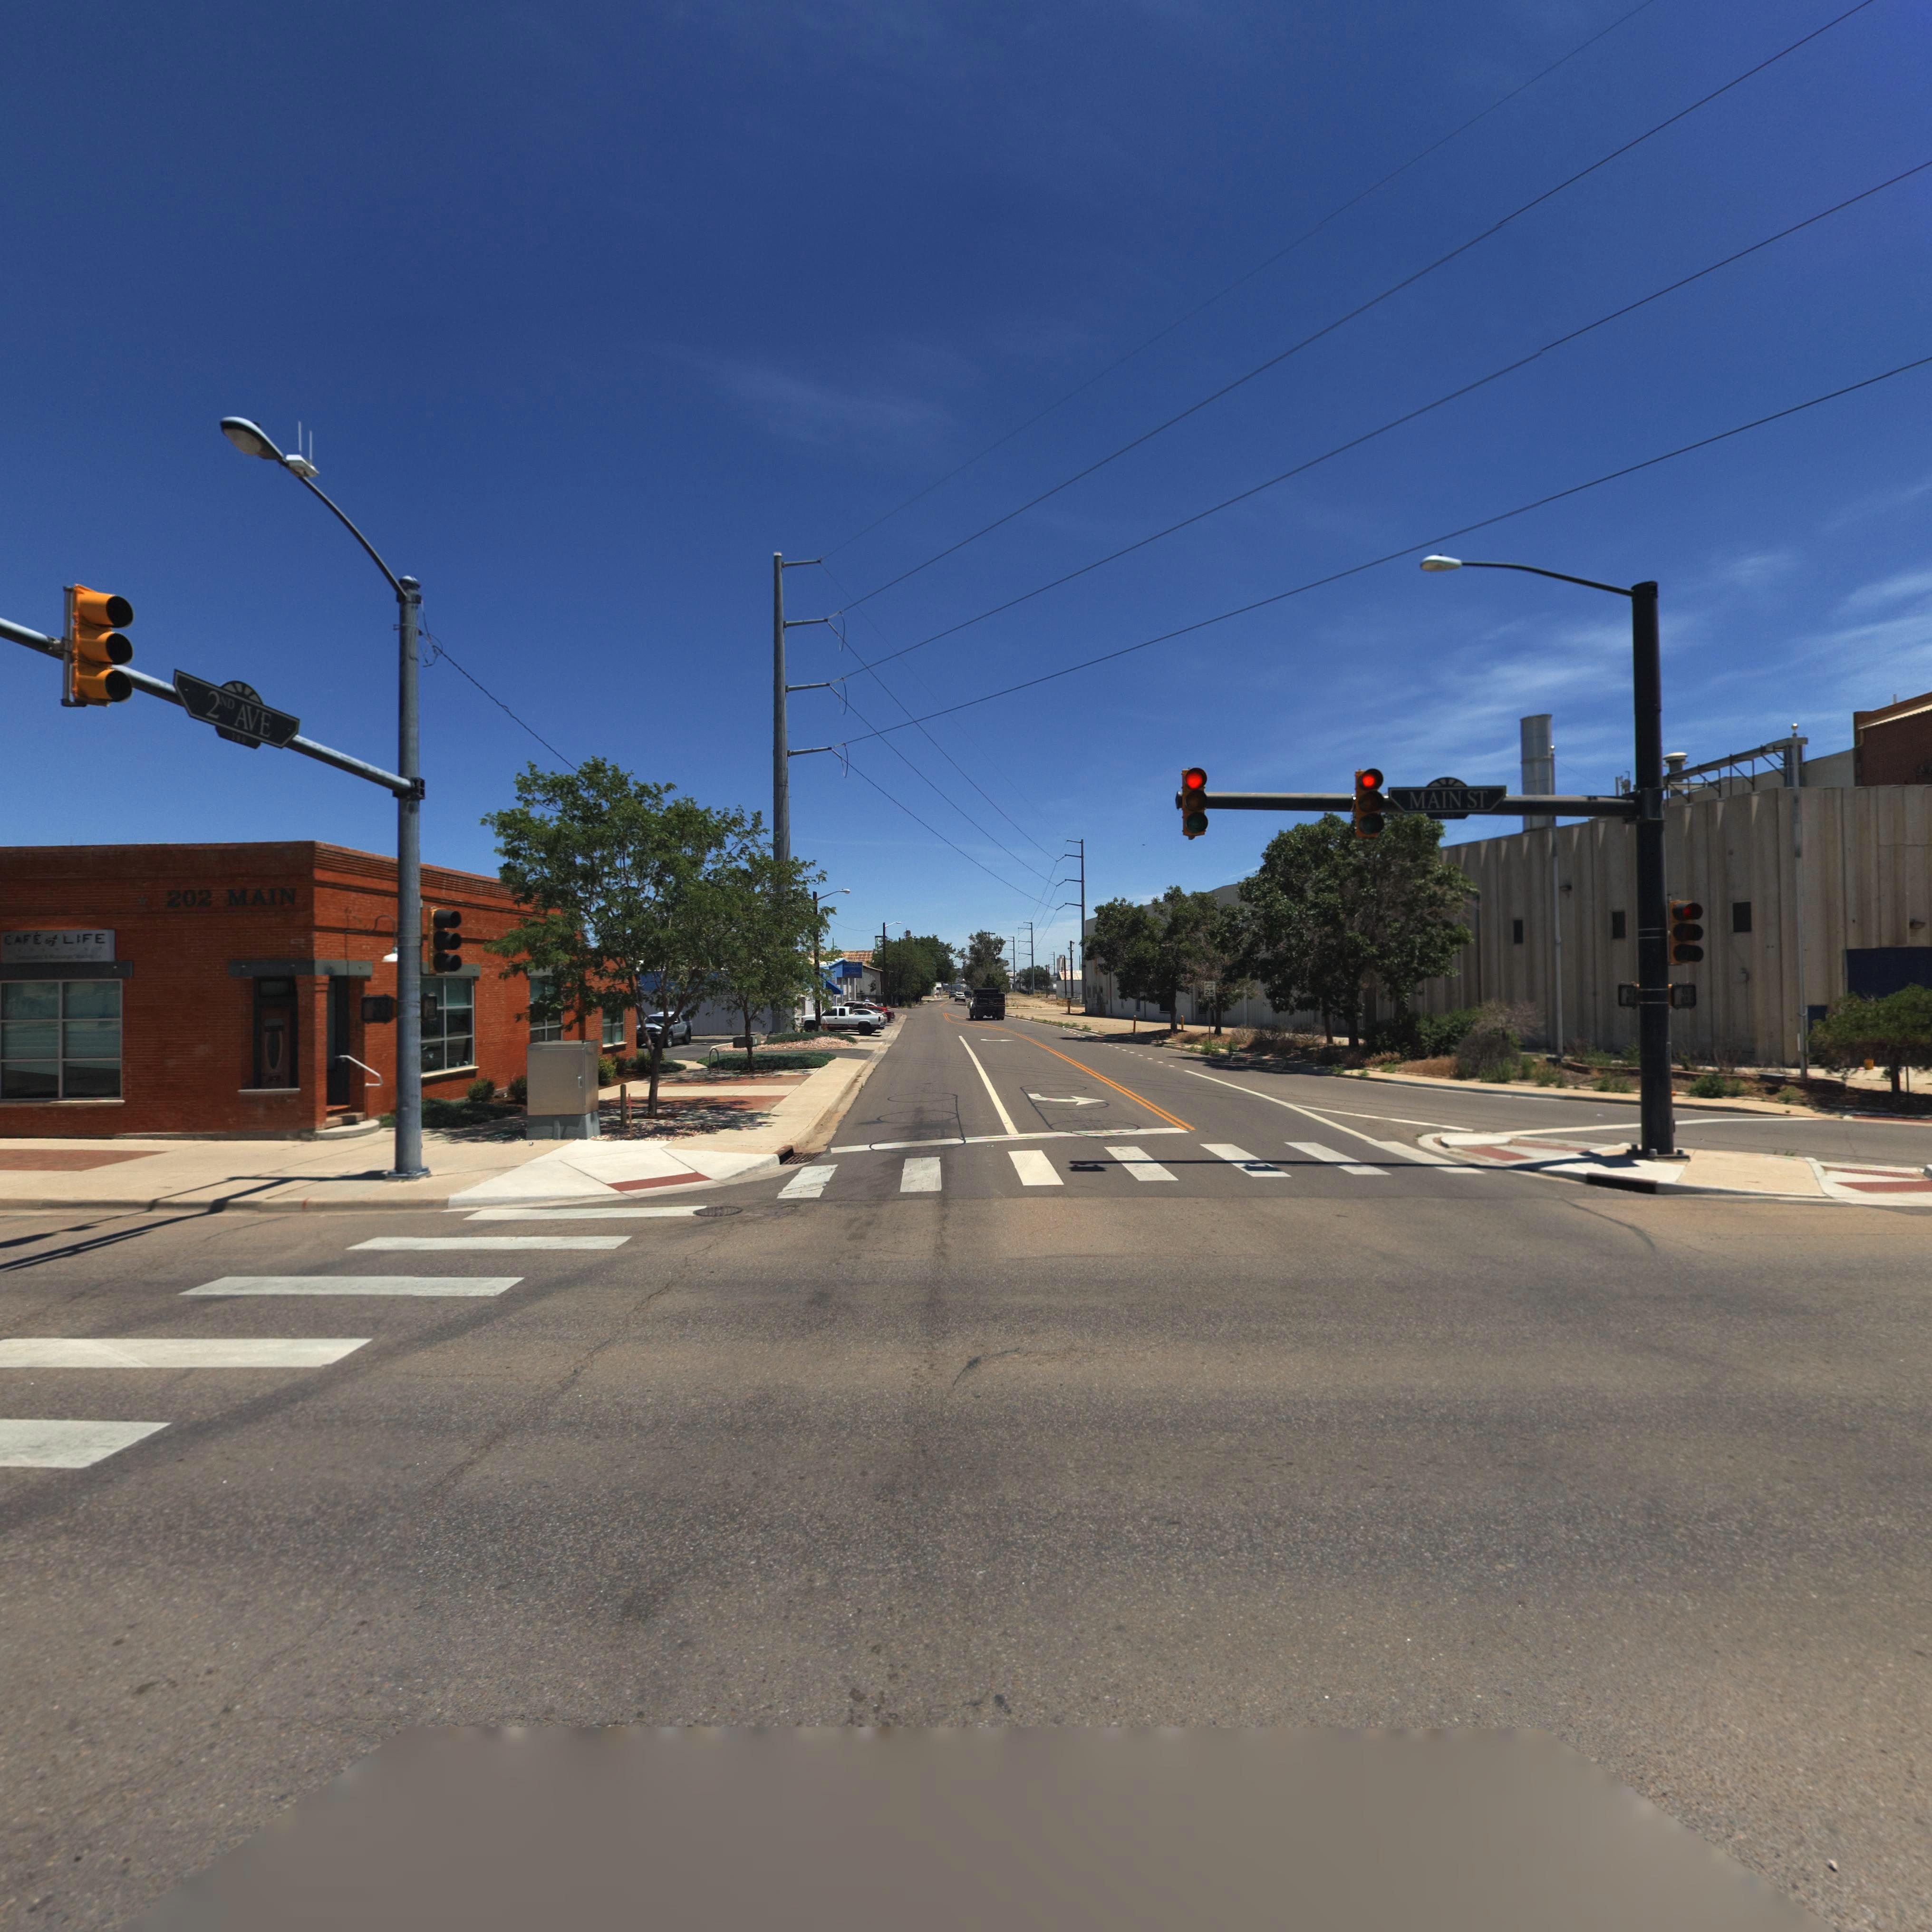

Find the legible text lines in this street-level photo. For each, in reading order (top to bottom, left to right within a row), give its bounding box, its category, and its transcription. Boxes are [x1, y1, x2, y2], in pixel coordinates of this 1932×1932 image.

[200, 687, 273, 740] StreetName: 2ND AVE
[1408, 789, 1489, 810] StreetName: MAIN ST
[164, 887, 213, 908] StreetNumber: 202
[225, 886, 297, 906] StreetName: MAIN
[3, 932, 107, 946] BusinessName: CAFE OF LIFE